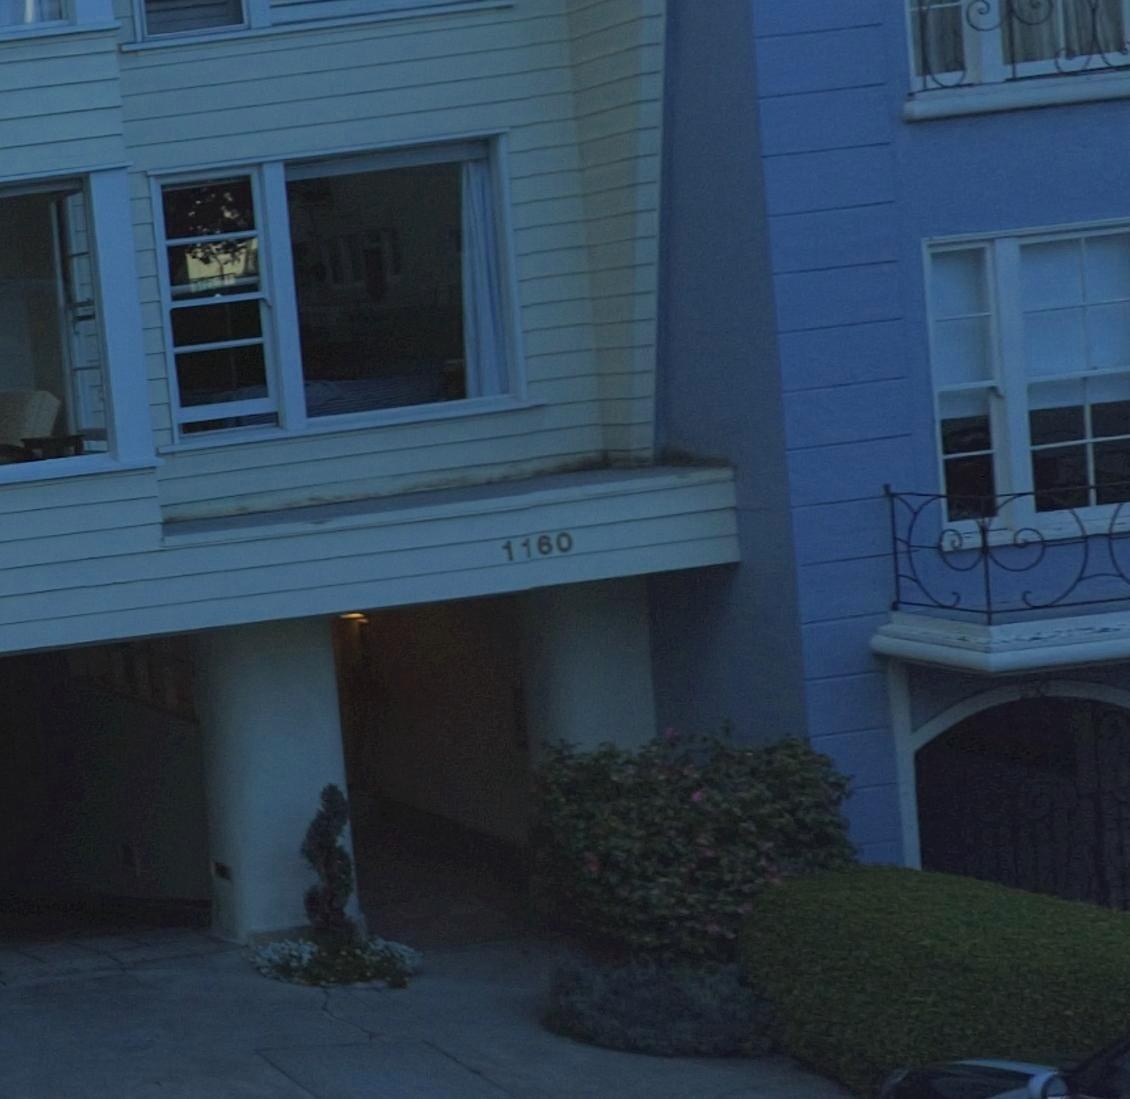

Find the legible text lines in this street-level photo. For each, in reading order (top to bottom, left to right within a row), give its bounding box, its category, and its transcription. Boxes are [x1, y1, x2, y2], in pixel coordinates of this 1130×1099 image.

[497, 528, 577, 565] StreetNumber: 1160